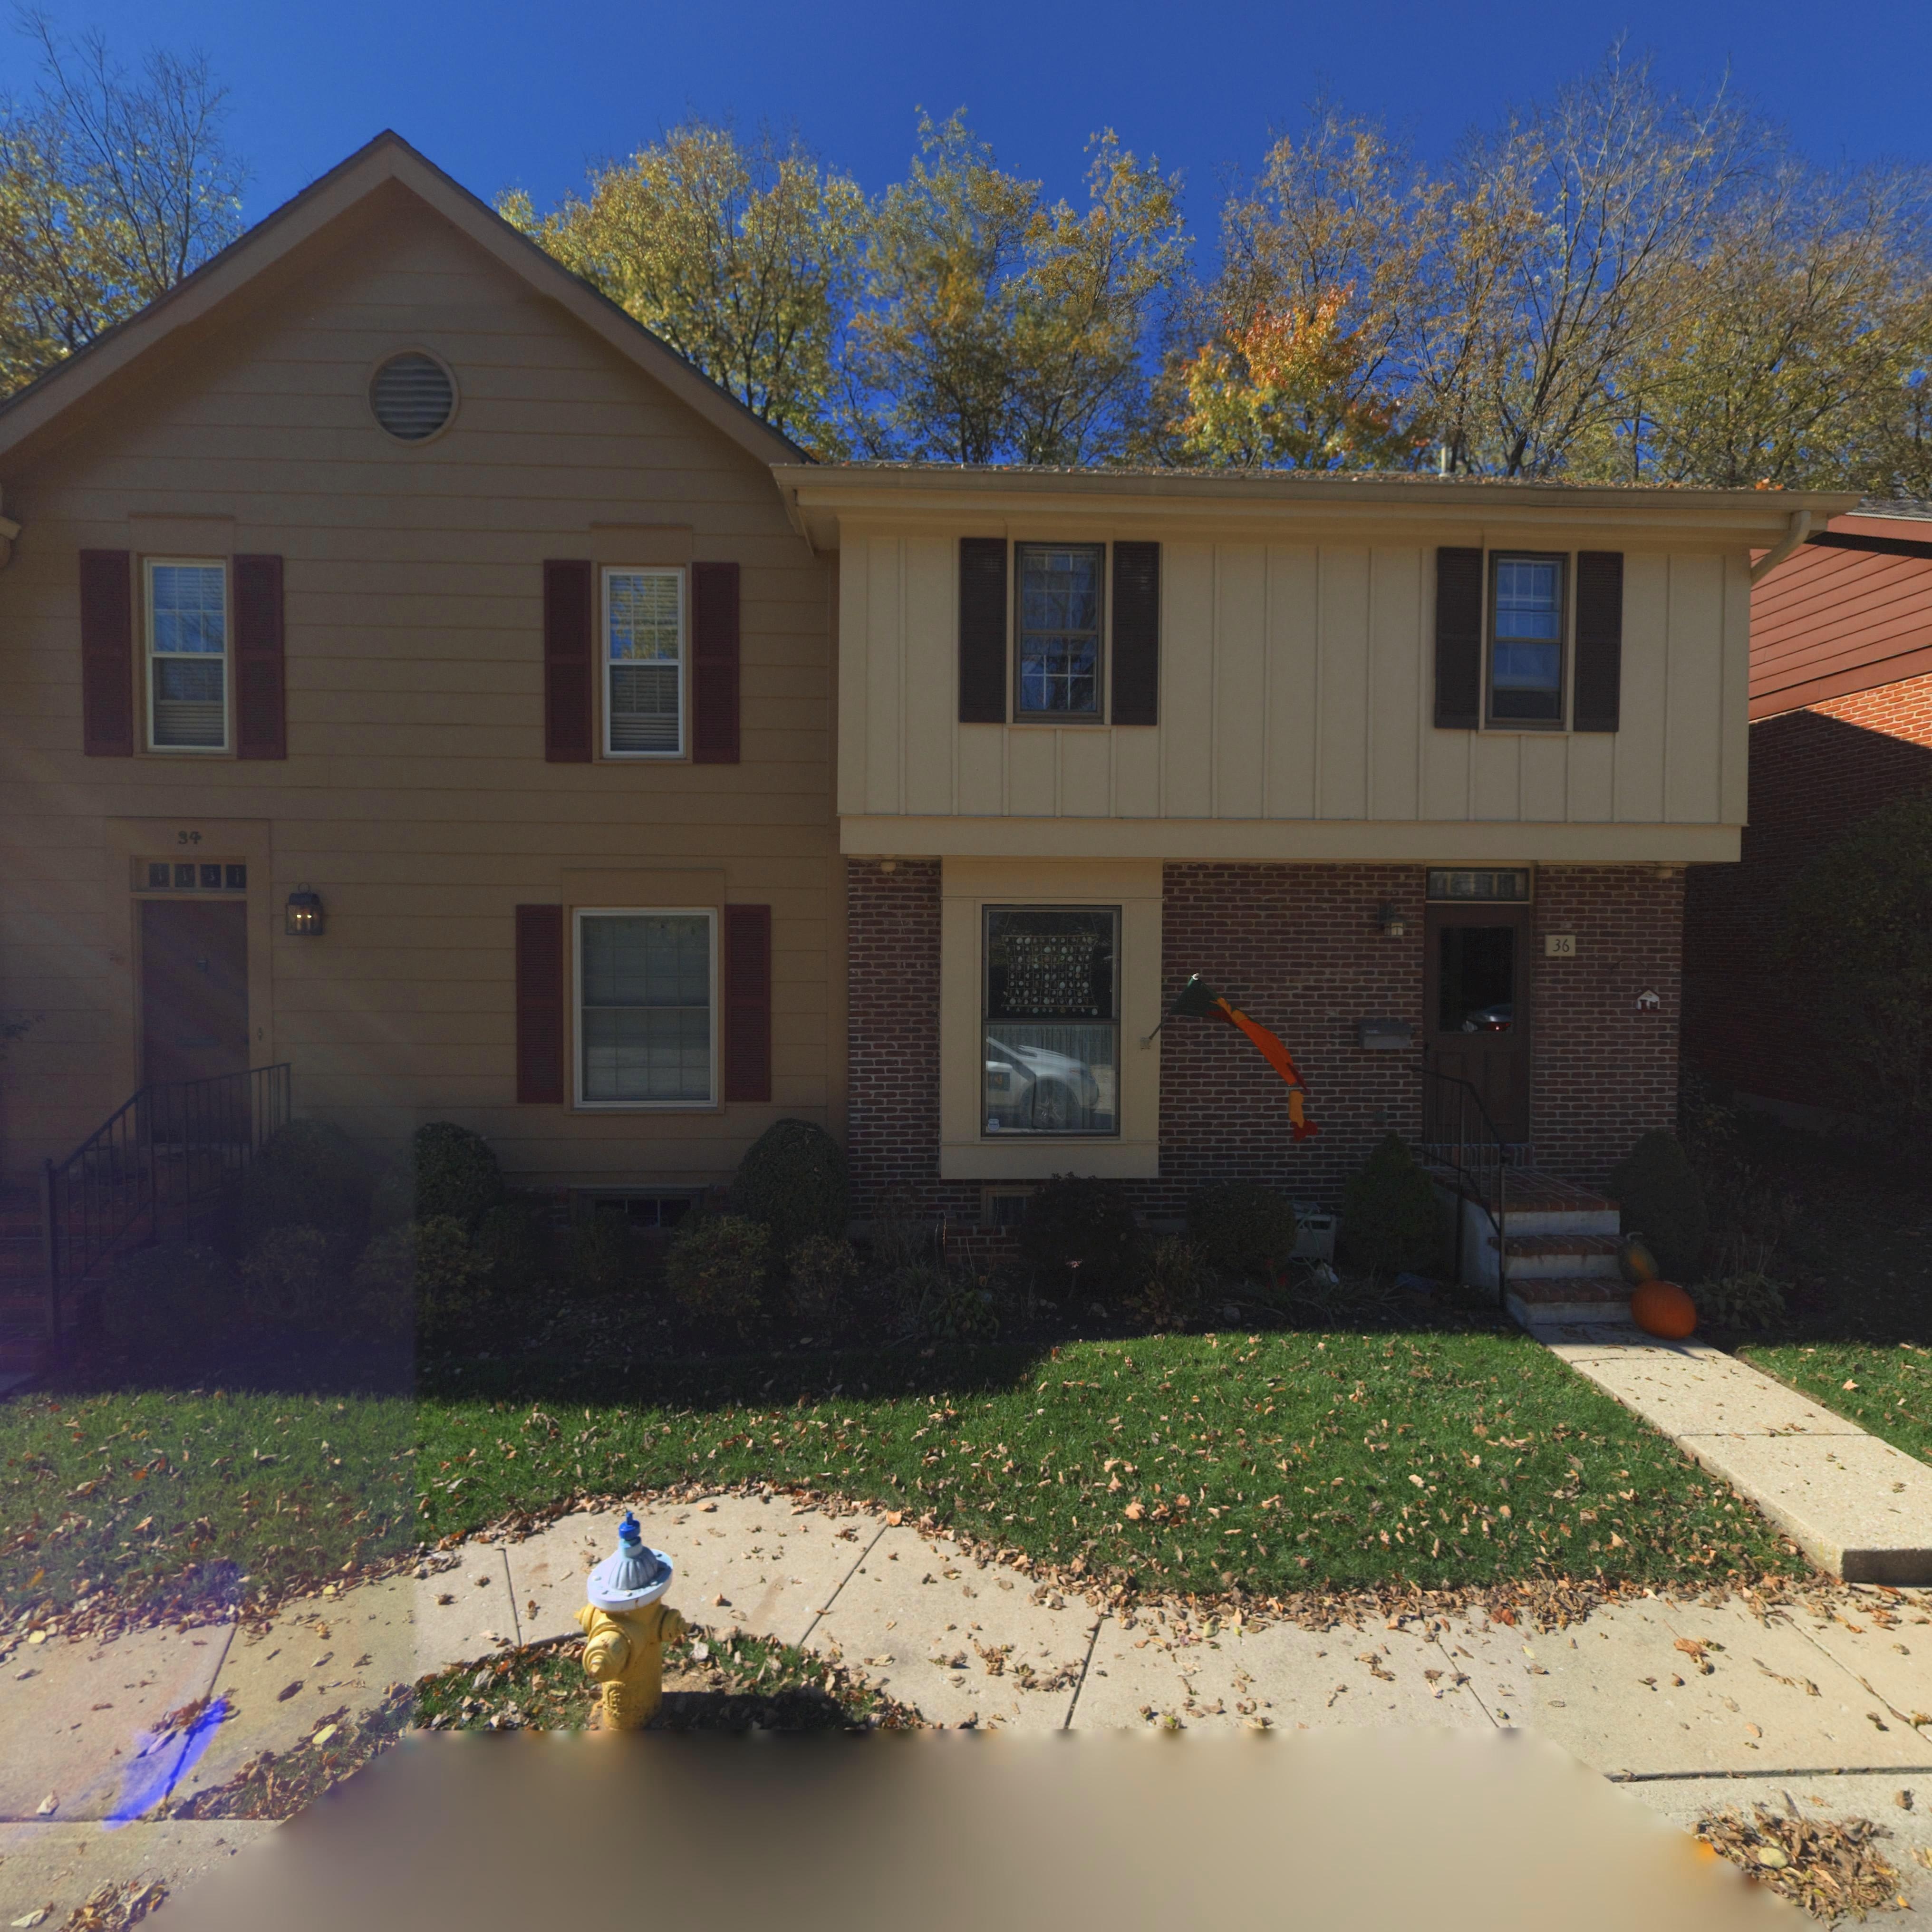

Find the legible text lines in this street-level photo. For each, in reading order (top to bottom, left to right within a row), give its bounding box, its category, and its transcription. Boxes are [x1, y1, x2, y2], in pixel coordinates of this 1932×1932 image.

[177, 830, 203, 845] StreetNumber: 34
[1552, 938, 1570, 953] StreetNumber: 36